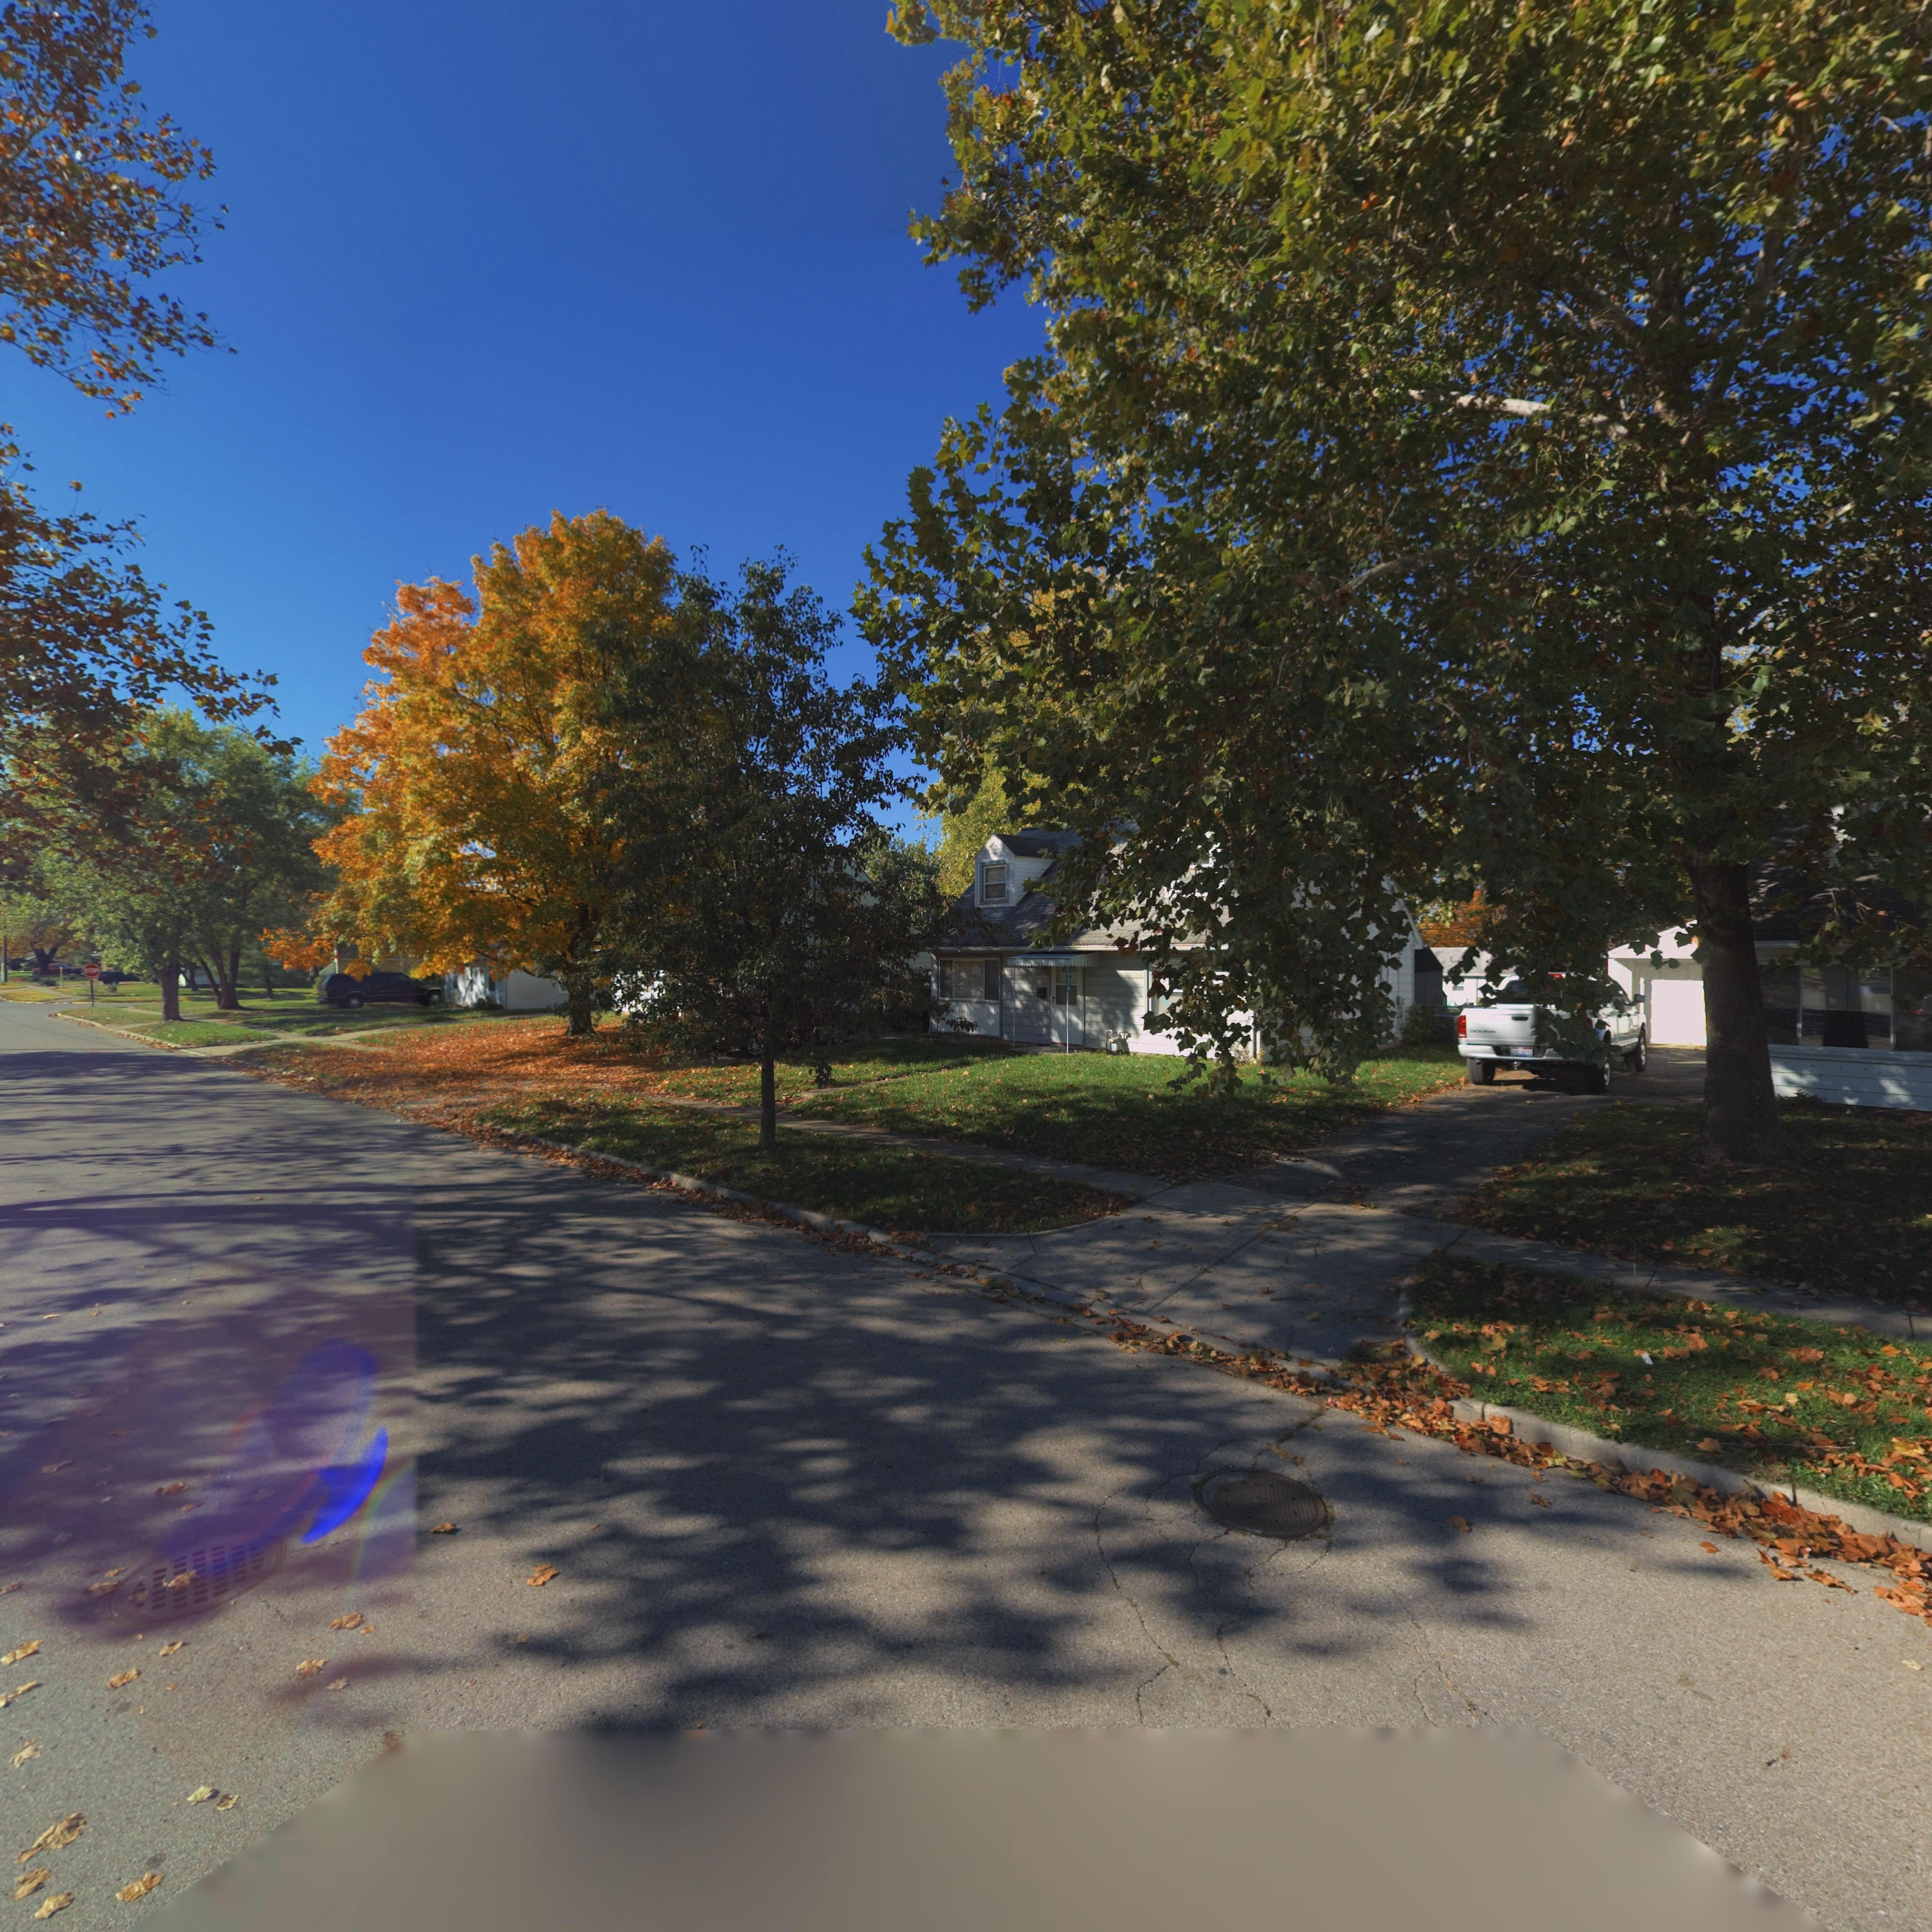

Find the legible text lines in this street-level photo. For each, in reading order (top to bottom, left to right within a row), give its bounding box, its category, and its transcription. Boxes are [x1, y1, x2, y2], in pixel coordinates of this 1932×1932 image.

[1067, 972, 1070, 991] StreetNumber: 4019